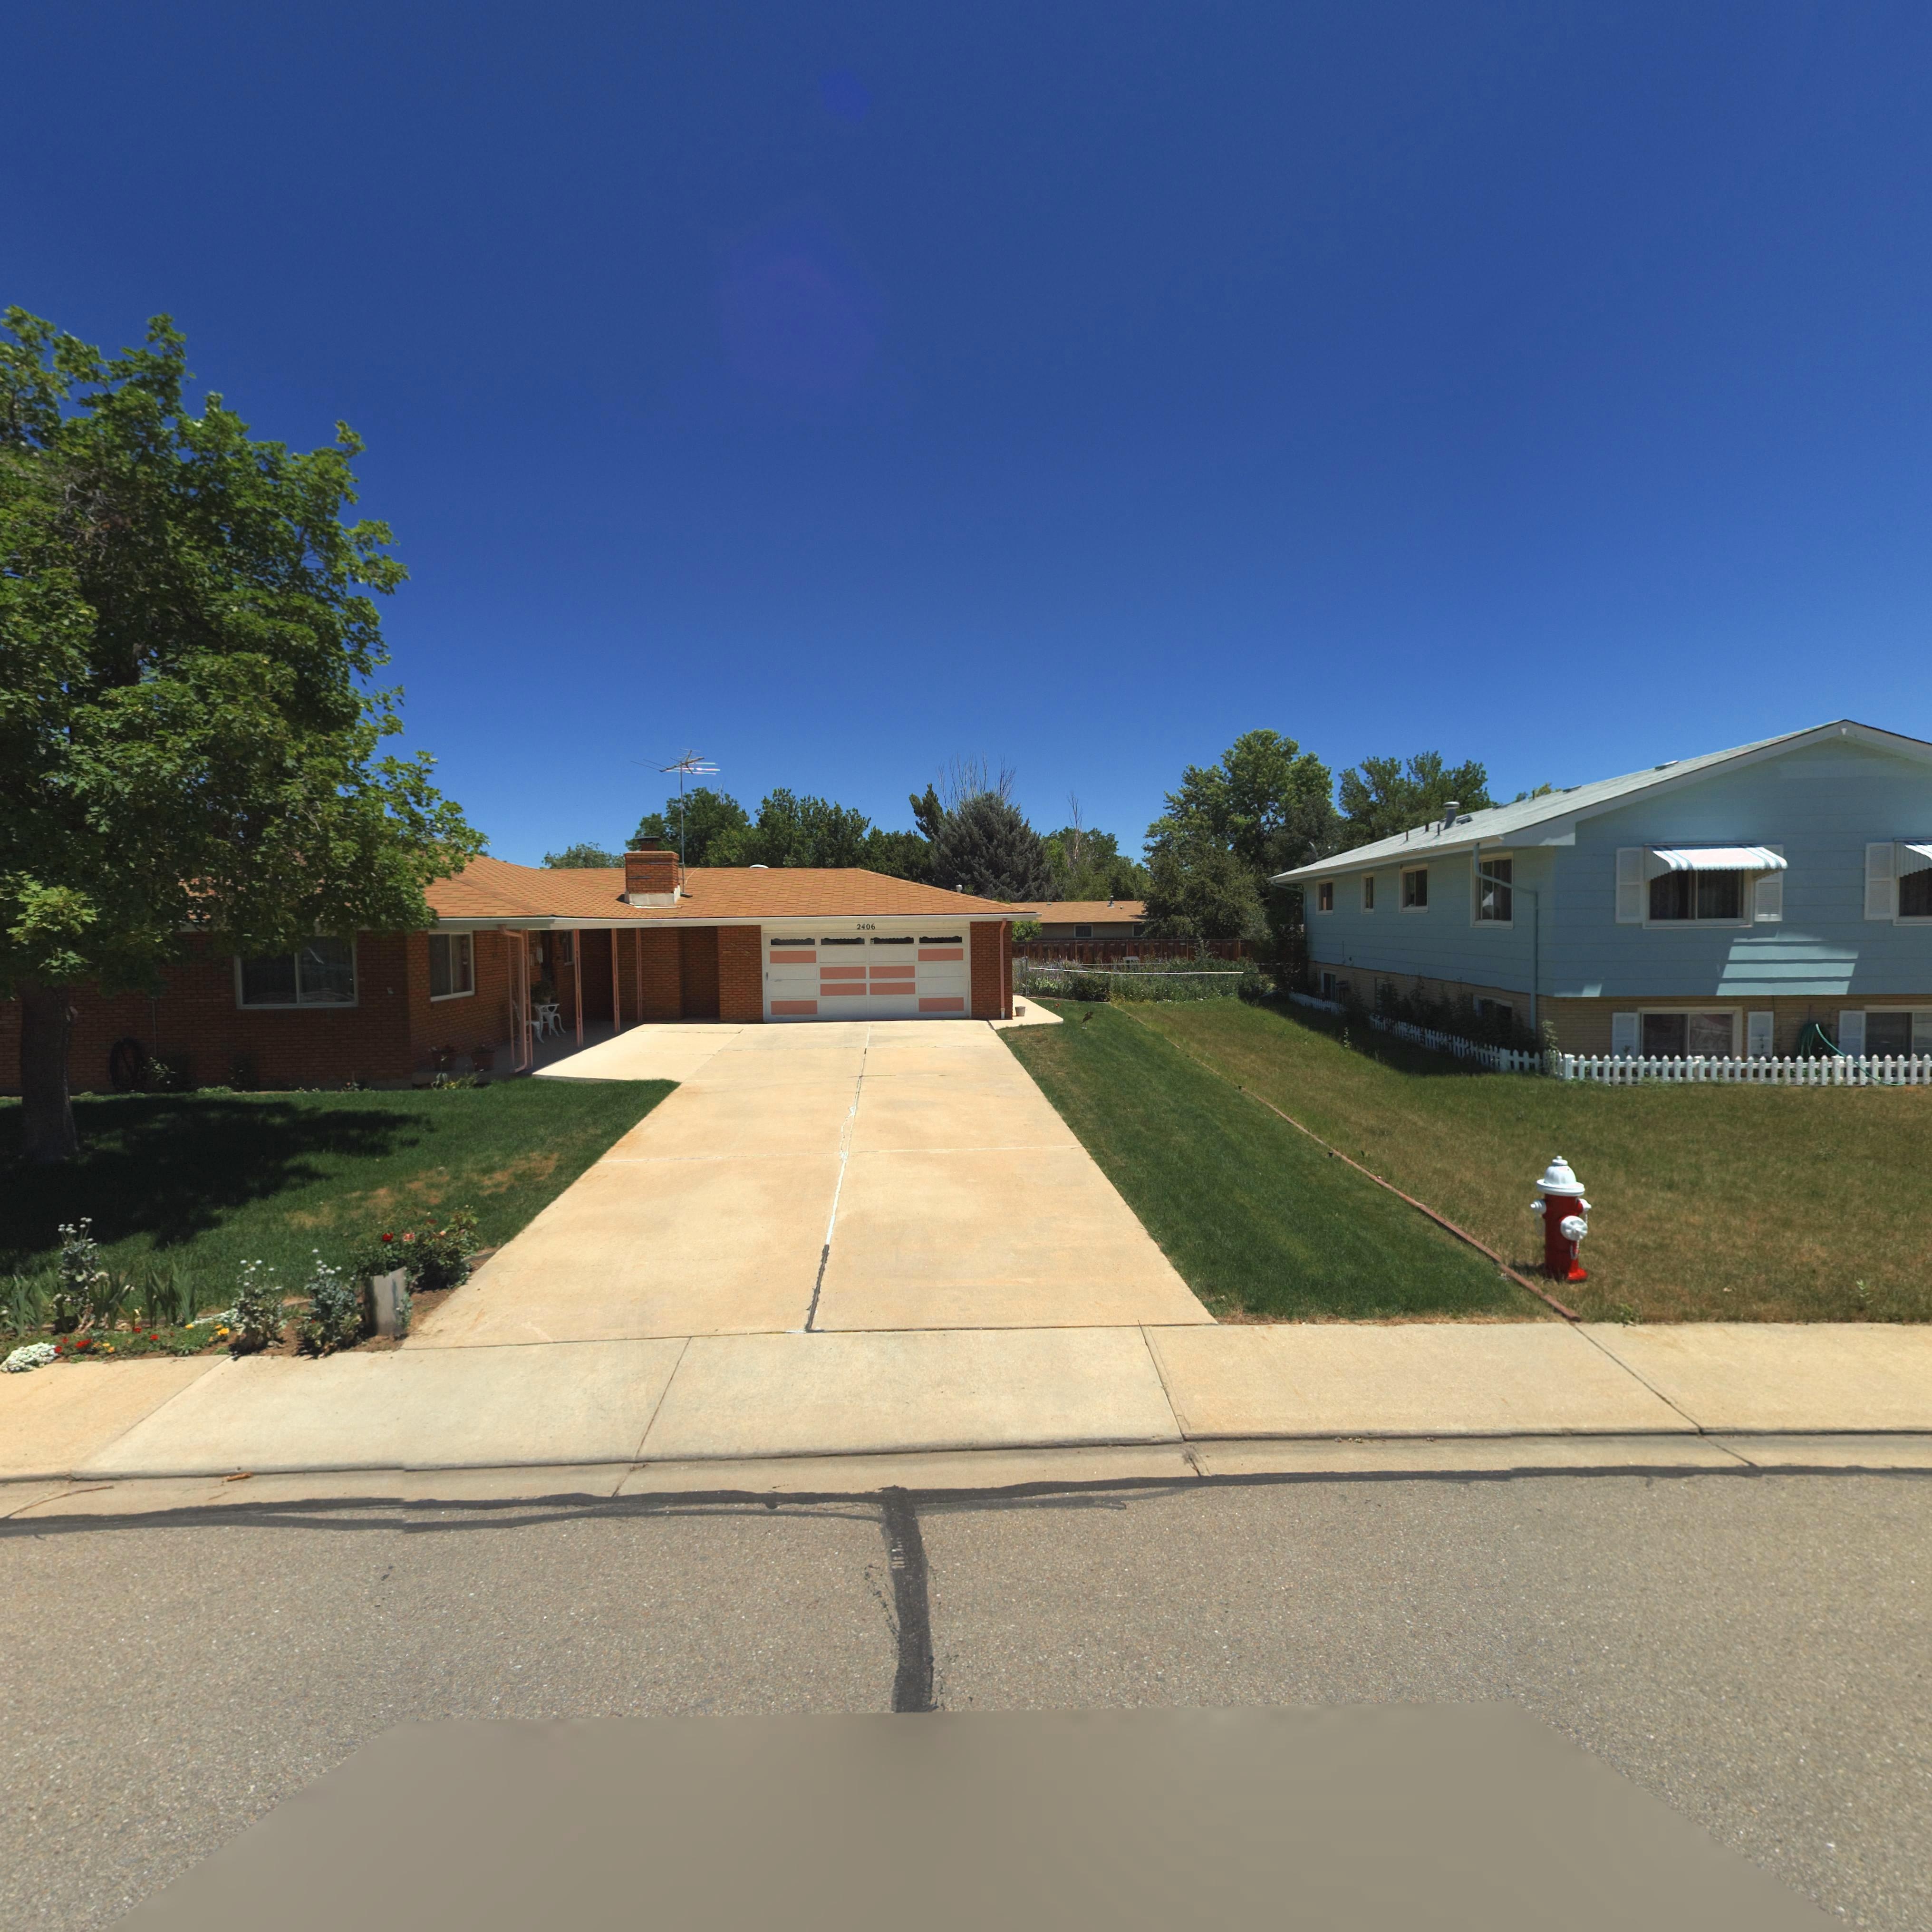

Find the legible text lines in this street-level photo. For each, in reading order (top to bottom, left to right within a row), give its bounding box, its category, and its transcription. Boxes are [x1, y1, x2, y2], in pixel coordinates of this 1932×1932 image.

[857, 923, 875, 930] StreetNumber: 2406